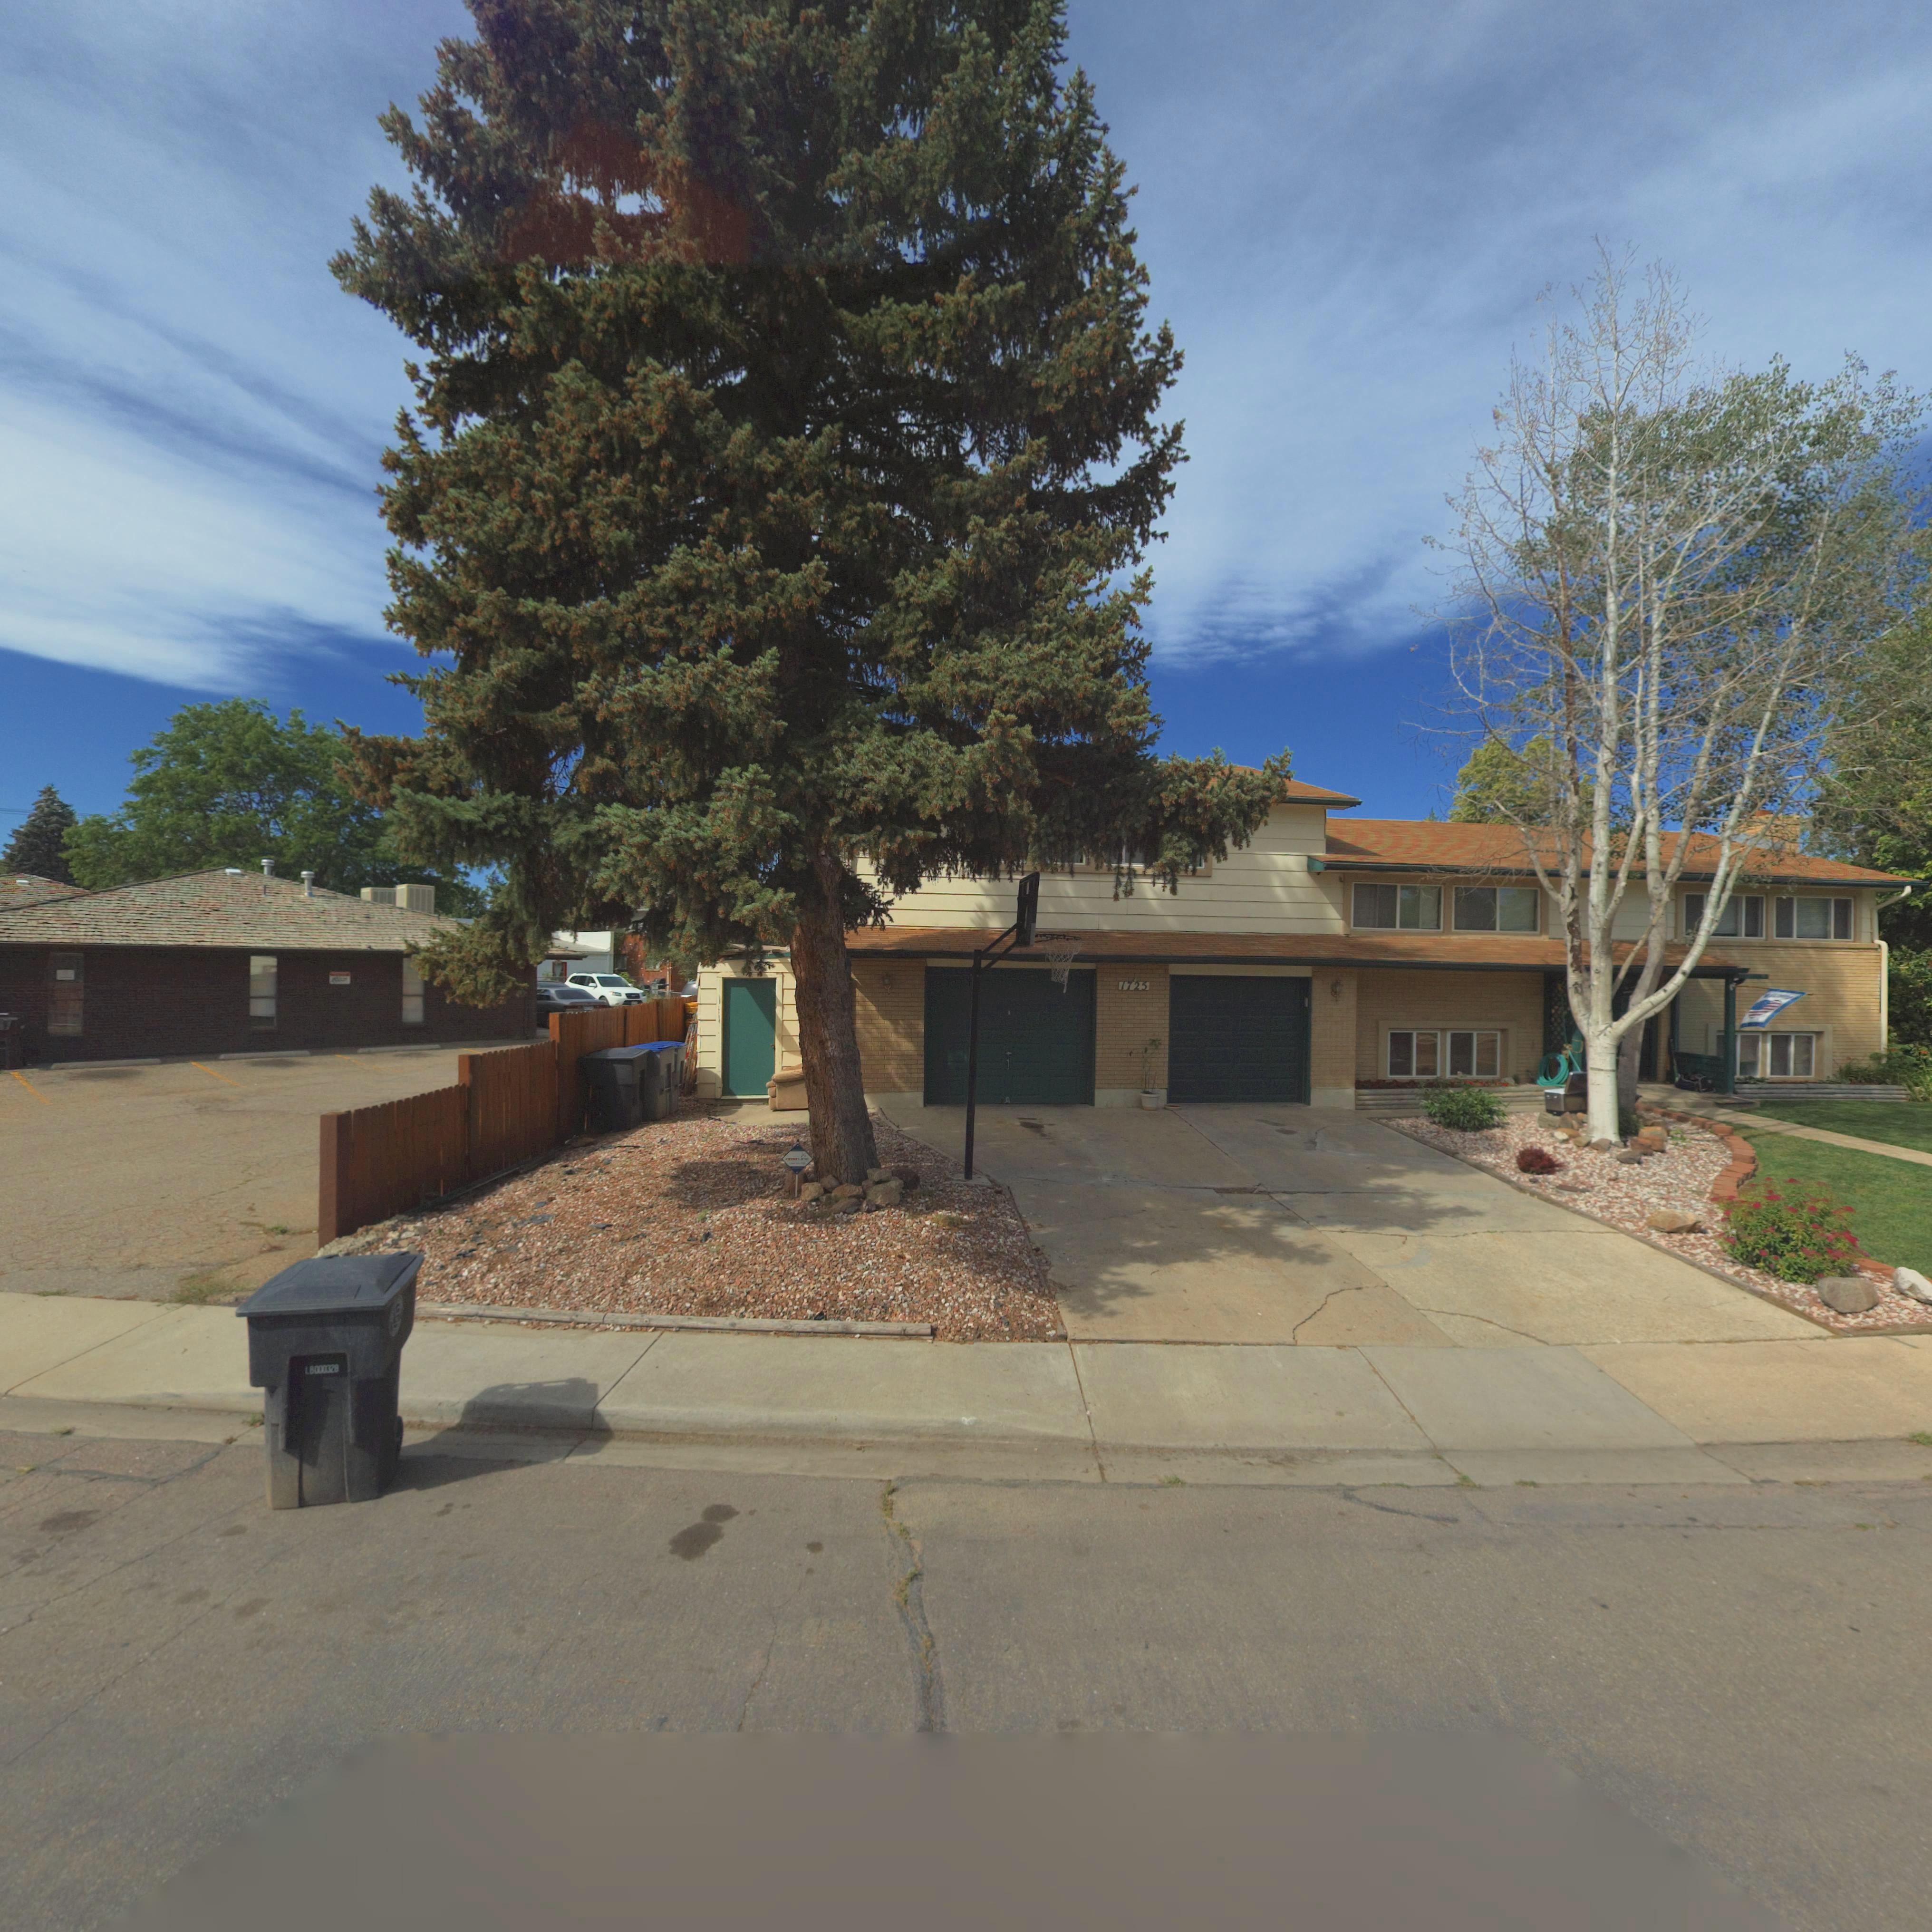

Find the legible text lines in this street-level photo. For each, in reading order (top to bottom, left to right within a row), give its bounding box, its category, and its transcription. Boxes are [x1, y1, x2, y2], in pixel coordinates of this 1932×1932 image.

[1121, 981, 1147, 990] StreetNumber: 1725